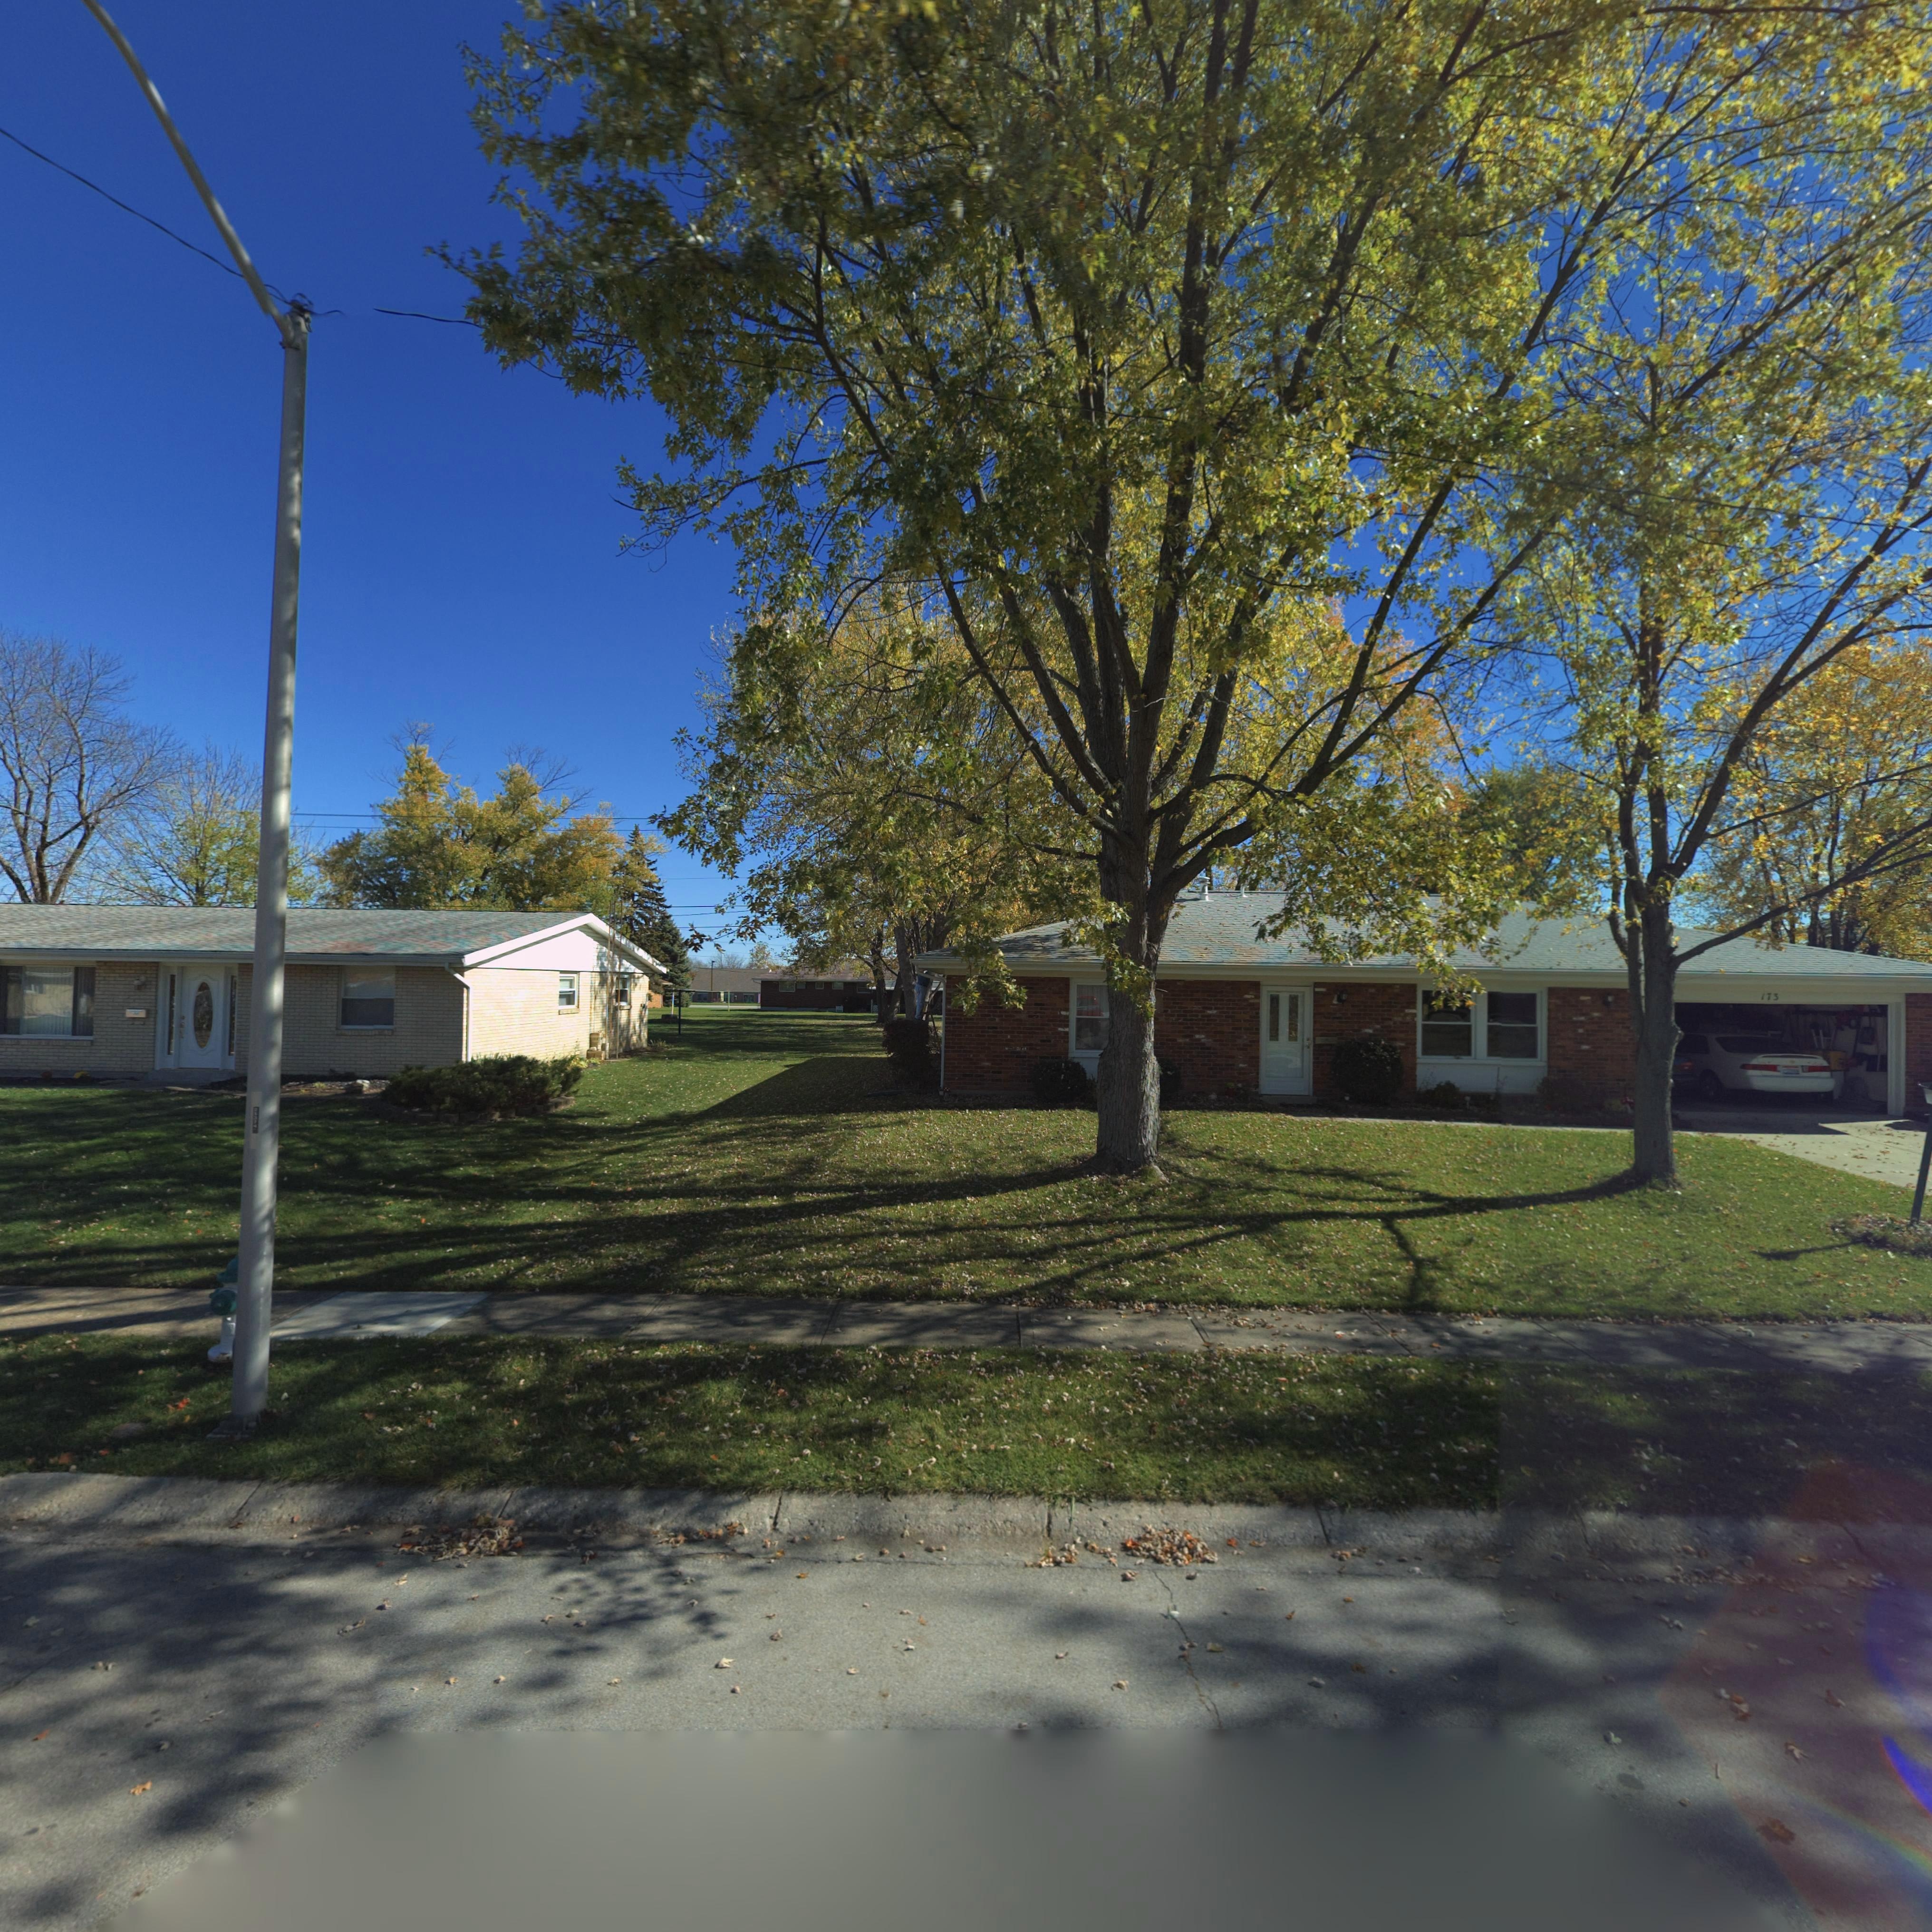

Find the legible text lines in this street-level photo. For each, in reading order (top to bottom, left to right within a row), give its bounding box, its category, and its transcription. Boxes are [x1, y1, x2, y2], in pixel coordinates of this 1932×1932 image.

[1759, 992, 1780, 1002] StreetNumber: 173